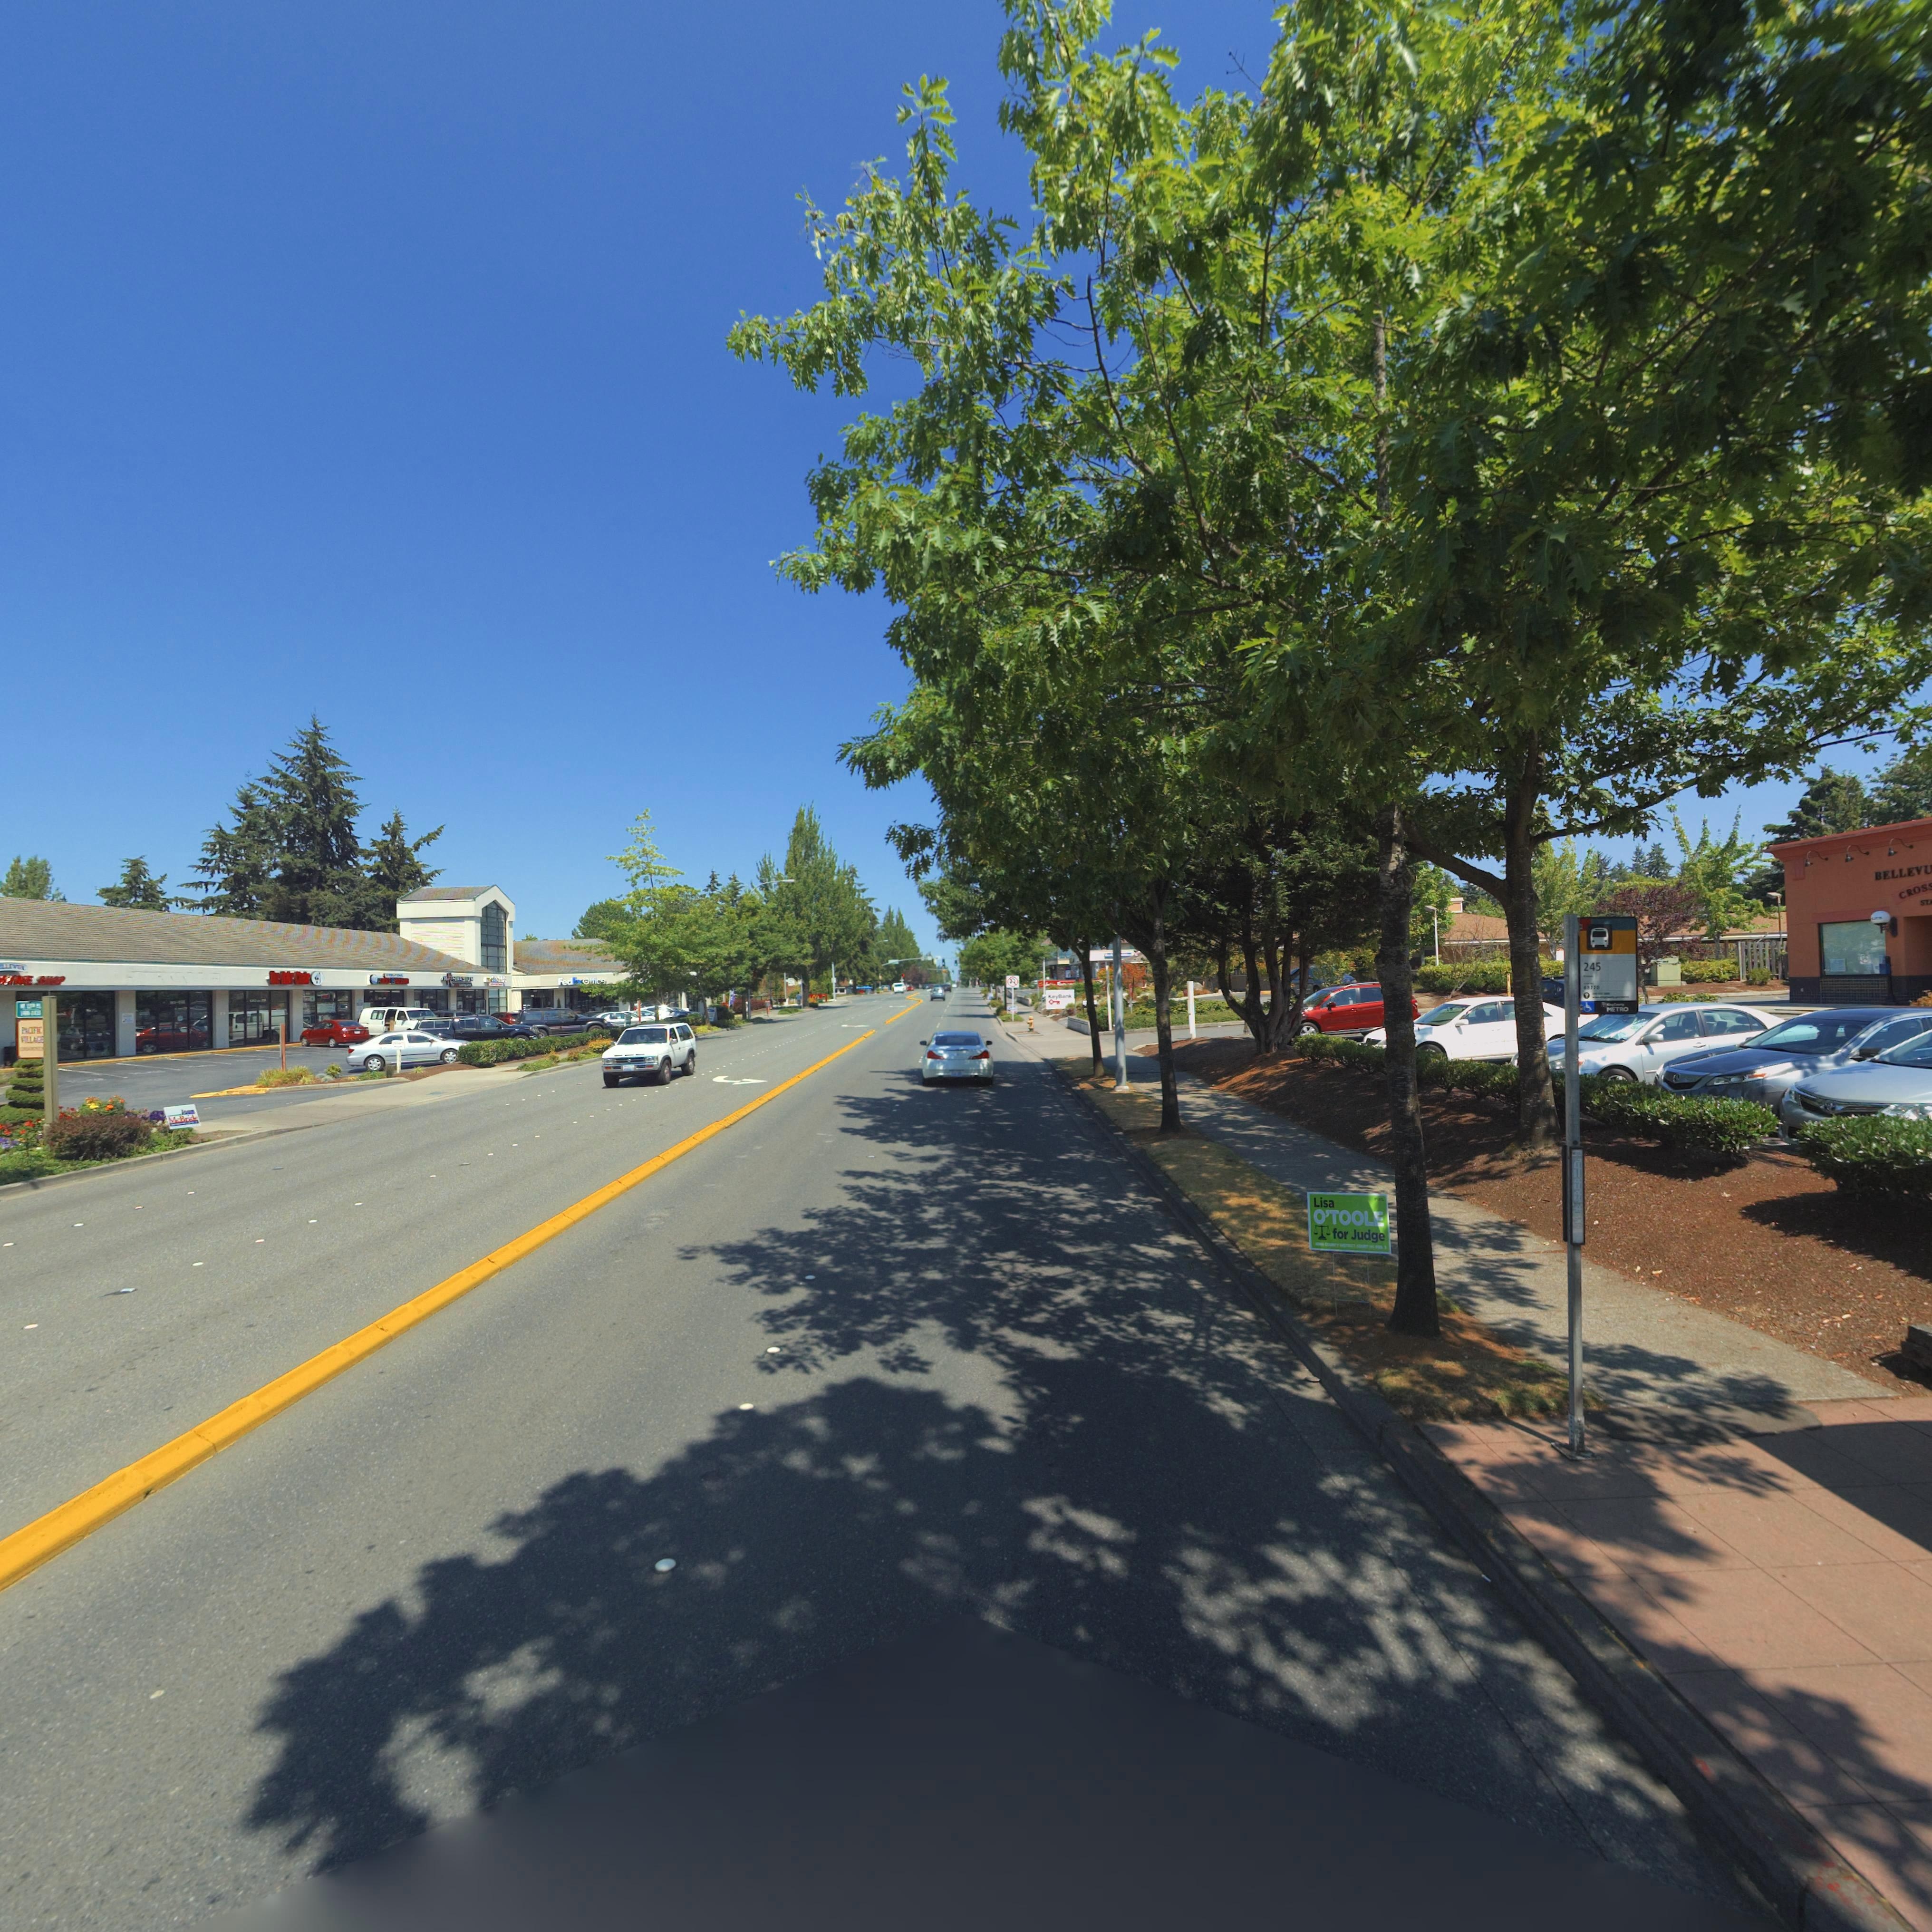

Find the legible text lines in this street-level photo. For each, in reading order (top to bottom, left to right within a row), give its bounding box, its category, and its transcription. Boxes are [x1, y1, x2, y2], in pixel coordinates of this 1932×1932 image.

[1870, 861, 1932, 882] BusinessName: BELLEVU*
[1896, 882, 1930, 901] BusinessName: CROS
[554, 973, 606, 991] BusinessName: FedEx Office